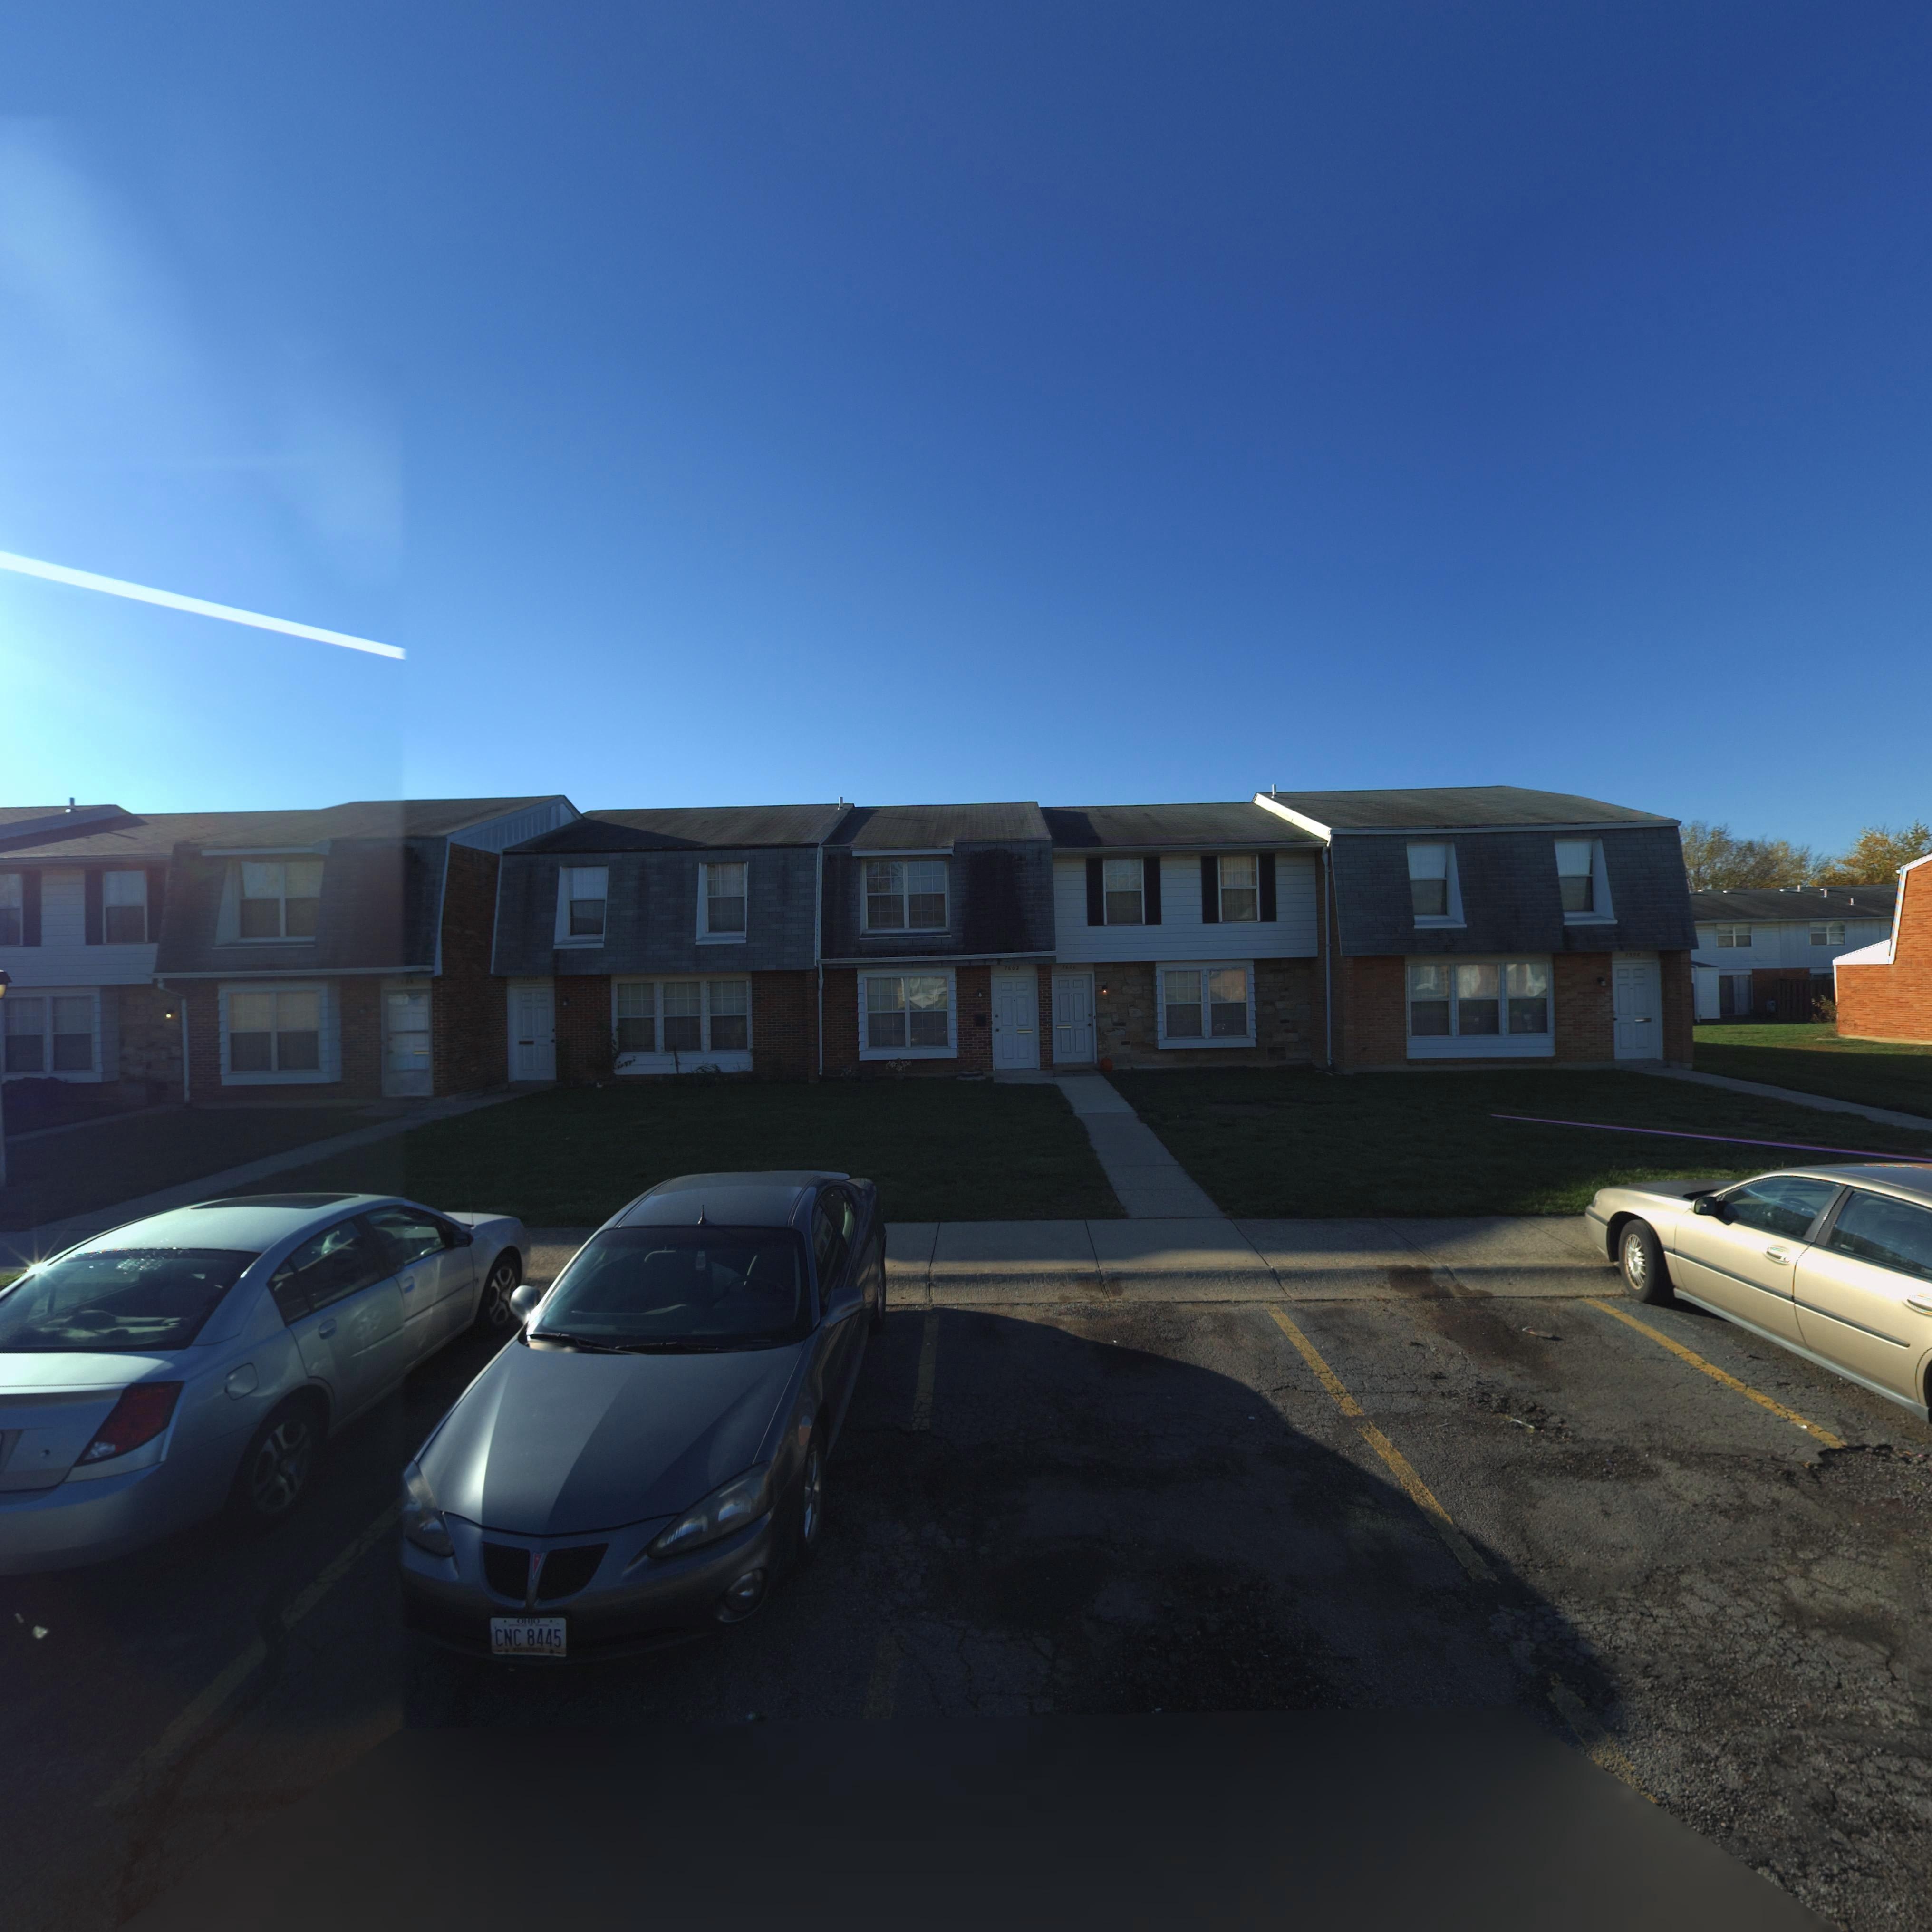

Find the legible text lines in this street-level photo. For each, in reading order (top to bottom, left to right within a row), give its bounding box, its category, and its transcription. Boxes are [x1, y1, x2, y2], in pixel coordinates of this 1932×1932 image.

[1624, 952, 1641, 957] StreetNumber: 7598
[1004, 965, 1019, 971] StreetNumber: 7602
[1062, 965, 1076, 969] StreetNumber: 7600
[522, 976, 538, 981] StreetNumber: 76**